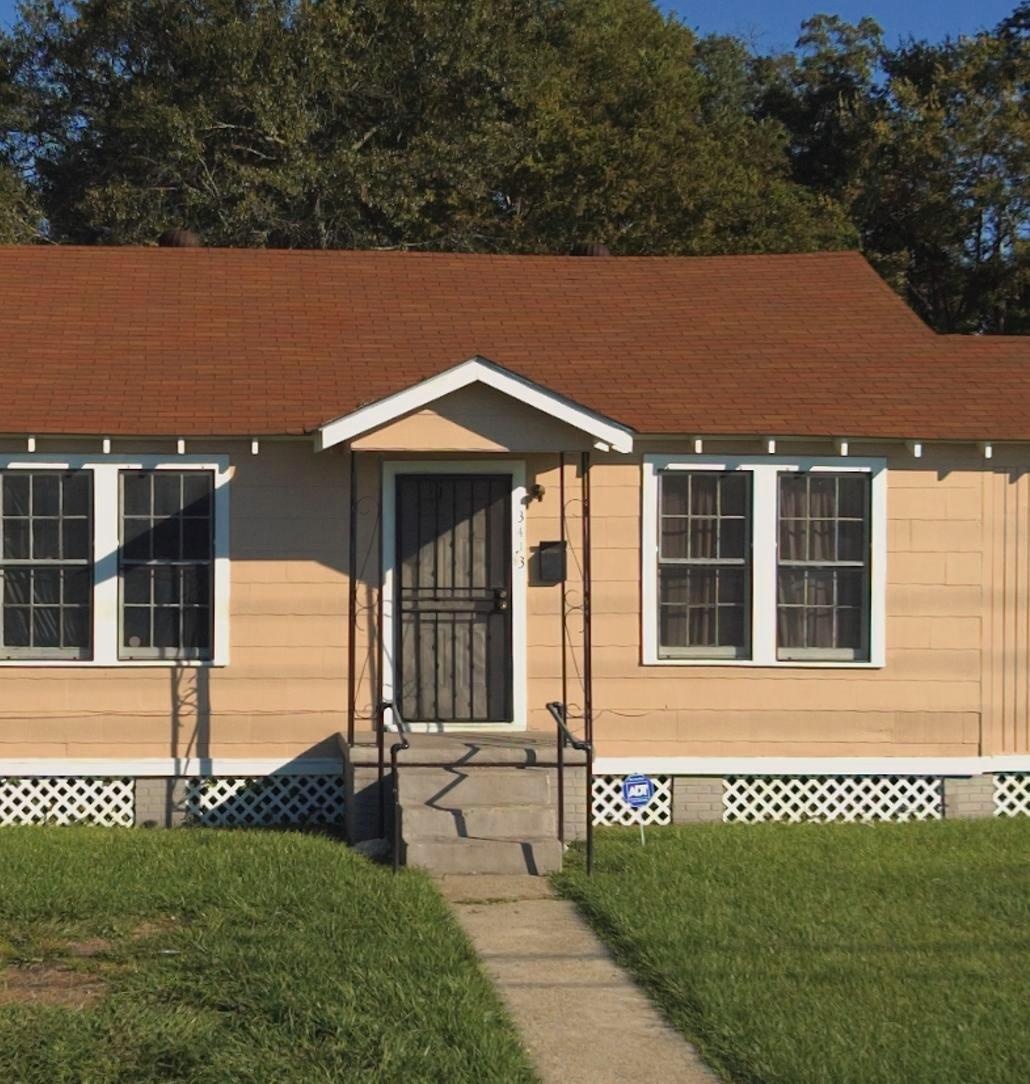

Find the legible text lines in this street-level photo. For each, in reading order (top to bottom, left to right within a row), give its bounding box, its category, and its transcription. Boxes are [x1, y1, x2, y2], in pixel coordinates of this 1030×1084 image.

[514, 507, 527, 571] StreetNumber: 3413
[626, 782, 650, 799] None: ADT